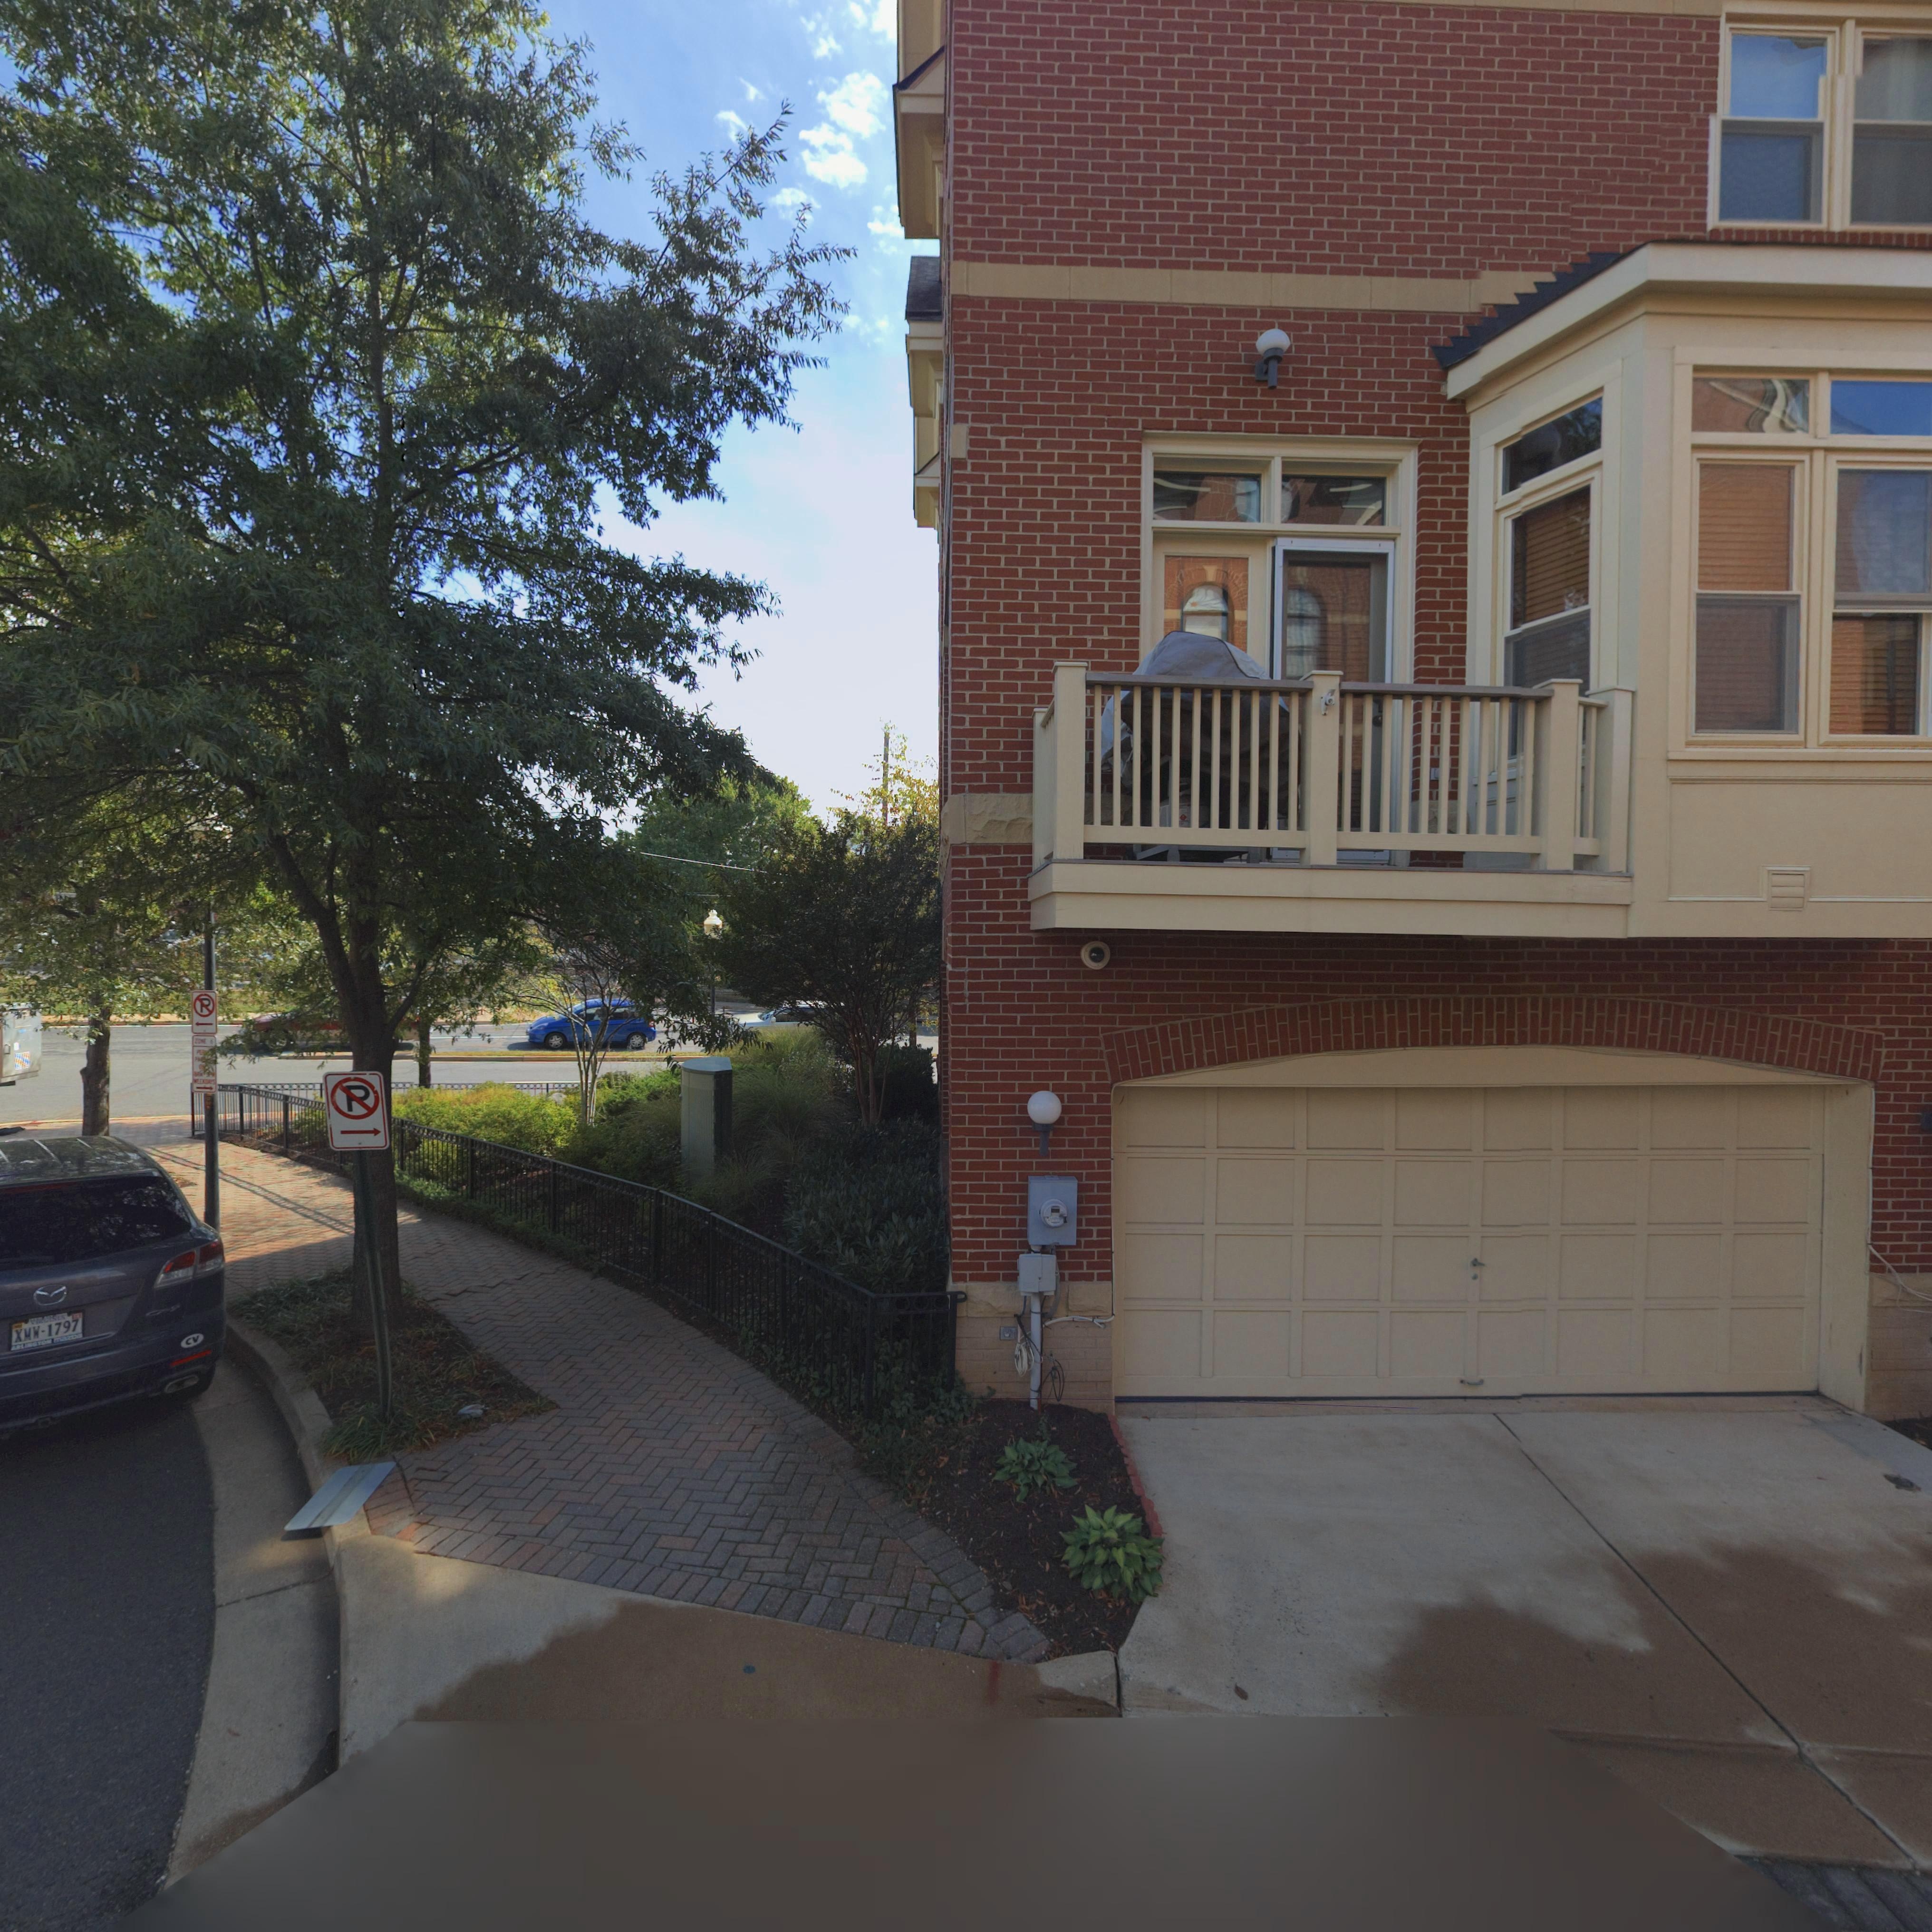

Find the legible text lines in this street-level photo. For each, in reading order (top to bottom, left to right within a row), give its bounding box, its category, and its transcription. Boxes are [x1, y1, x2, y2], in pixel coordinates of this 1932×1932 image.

[194, 1038, 213, 1044] None: ZONE 6
[195, 1049, 200, 1055] None: P
[194, 1056, 199, 1062] None: P
[193, 1078, 216, 1085] None: WEEKDAYS
[144, 1309, 162, 1317] None: C
[30, 1314, 66, 1325] None: VI**INIA
[13, 1318, 80, 1344] None: XMW*1797
[10, 1333, 83, 1352] None: ARLI*GTO* maz*a
[185, 1334, 200, 1346] None: CV